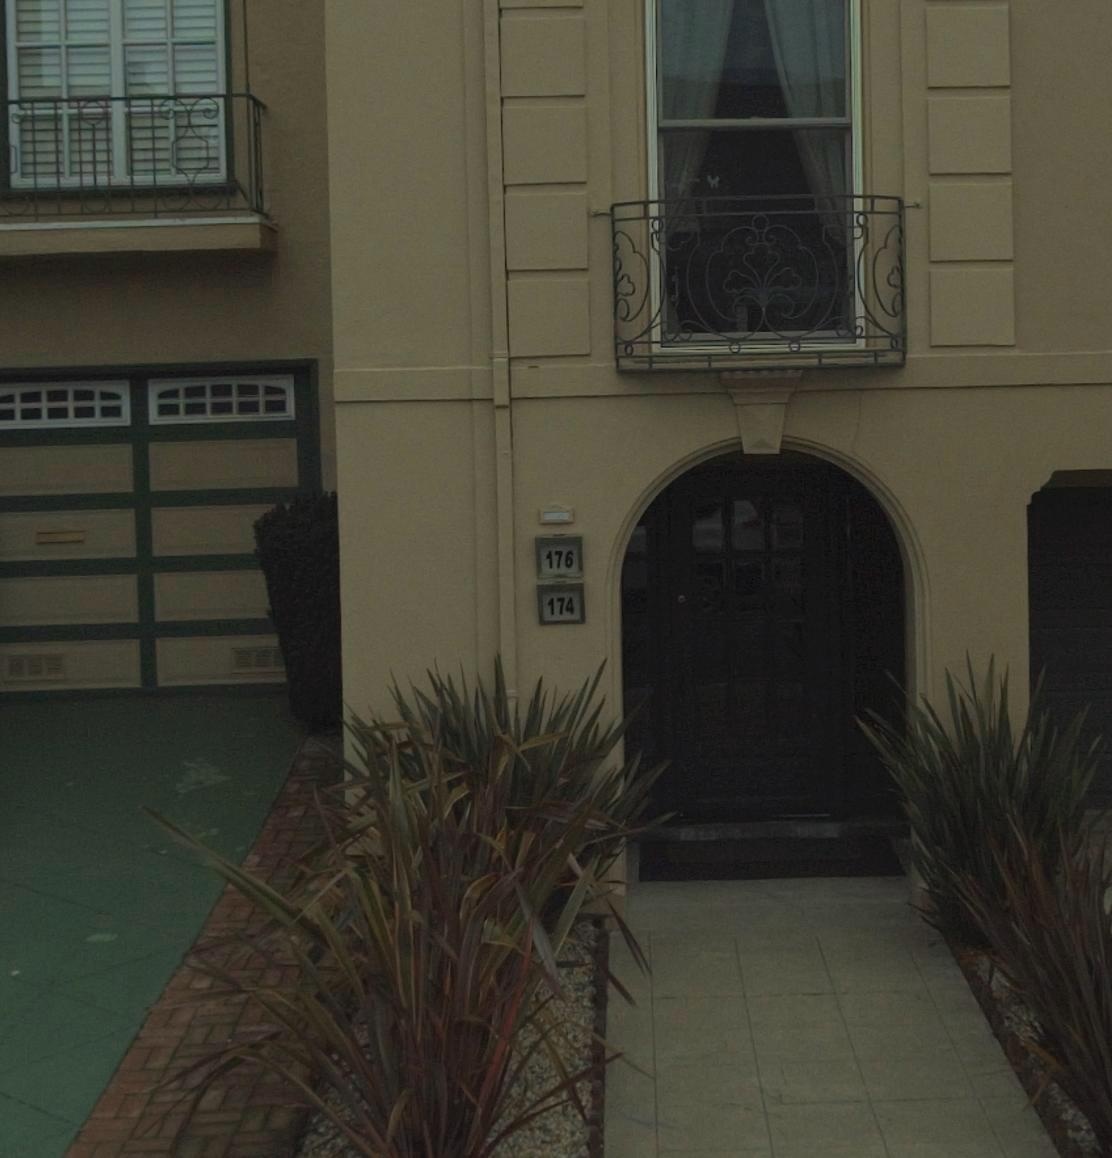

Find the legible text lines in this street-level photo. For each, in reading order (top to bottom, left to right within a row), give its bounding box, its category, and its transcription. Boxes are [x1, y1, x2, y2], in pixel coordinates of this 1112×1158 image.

[545, 549, 574, 570] StreetNumber: 176
[546, 596, 576, 617] StreetNumber: 174